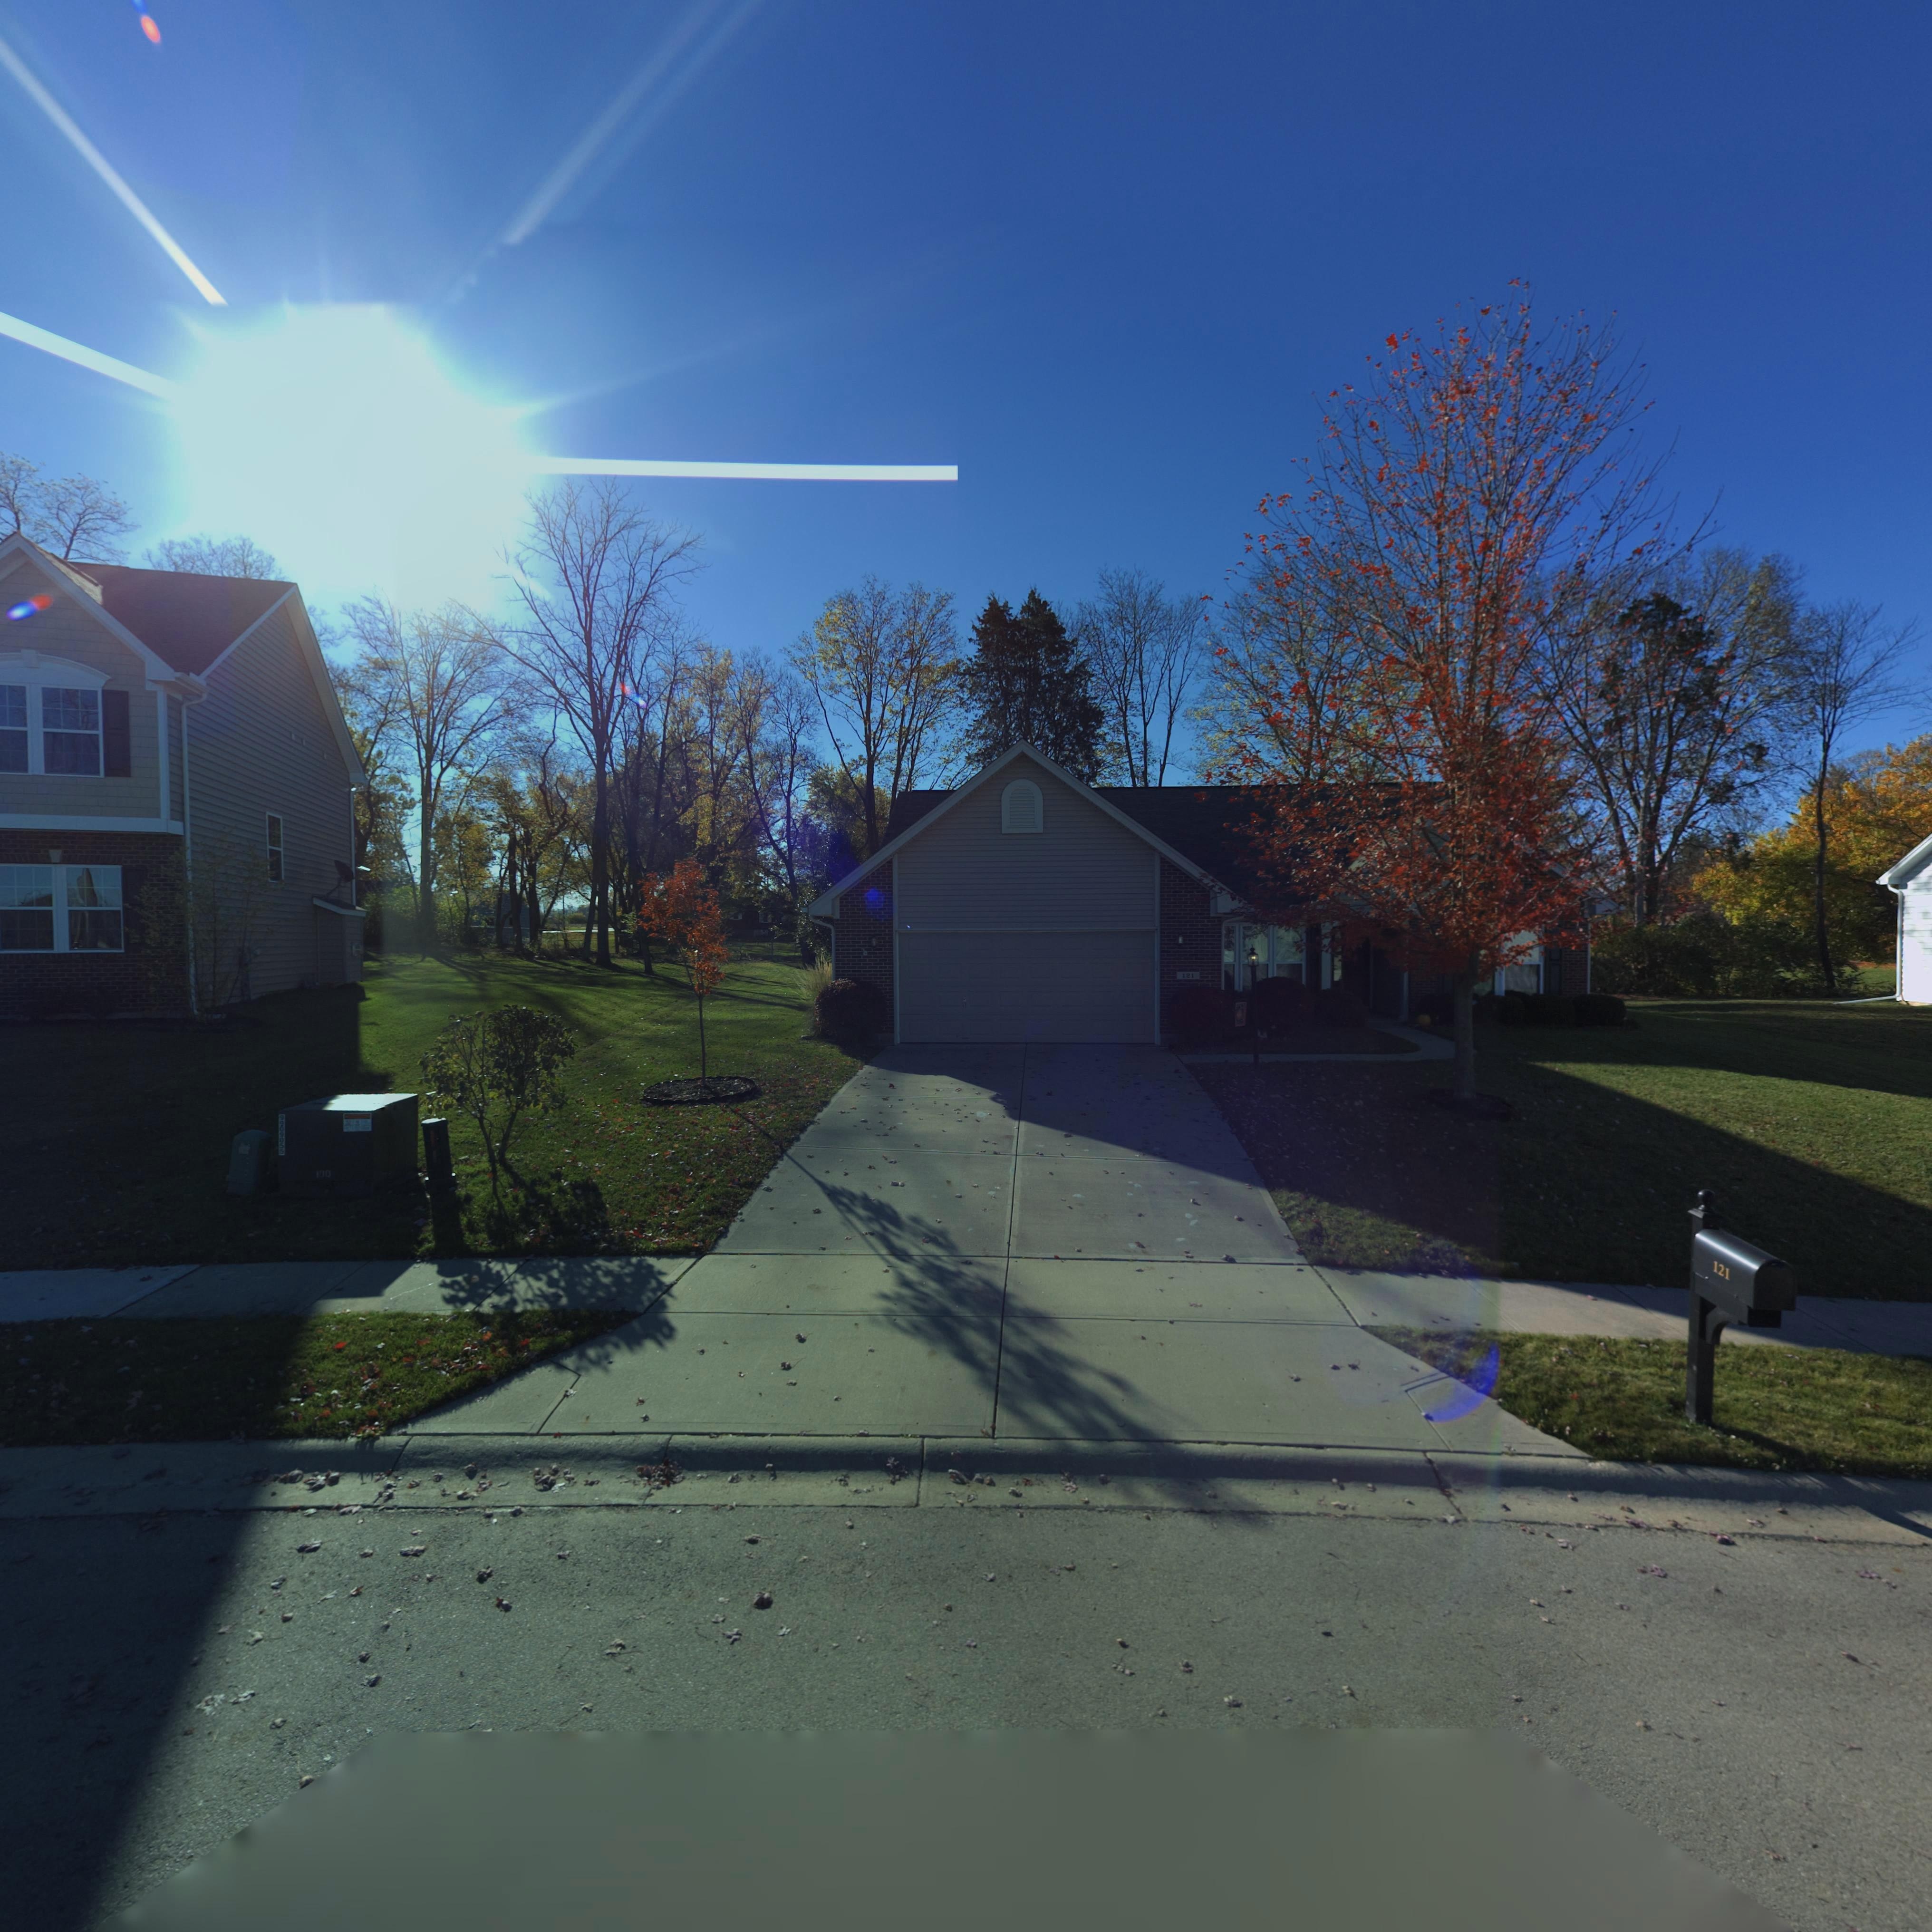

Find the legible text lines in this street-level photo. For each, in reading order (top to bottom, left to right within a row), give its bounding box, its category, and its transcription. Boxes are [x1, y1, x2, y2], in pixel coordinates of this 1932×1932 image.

[1181, 972, 1195, 979] StreetNumber: 121
[278, 1113, 285, 1157] None: 990905
[1713, 1258, 1730, 1283] StreetNumber: 121